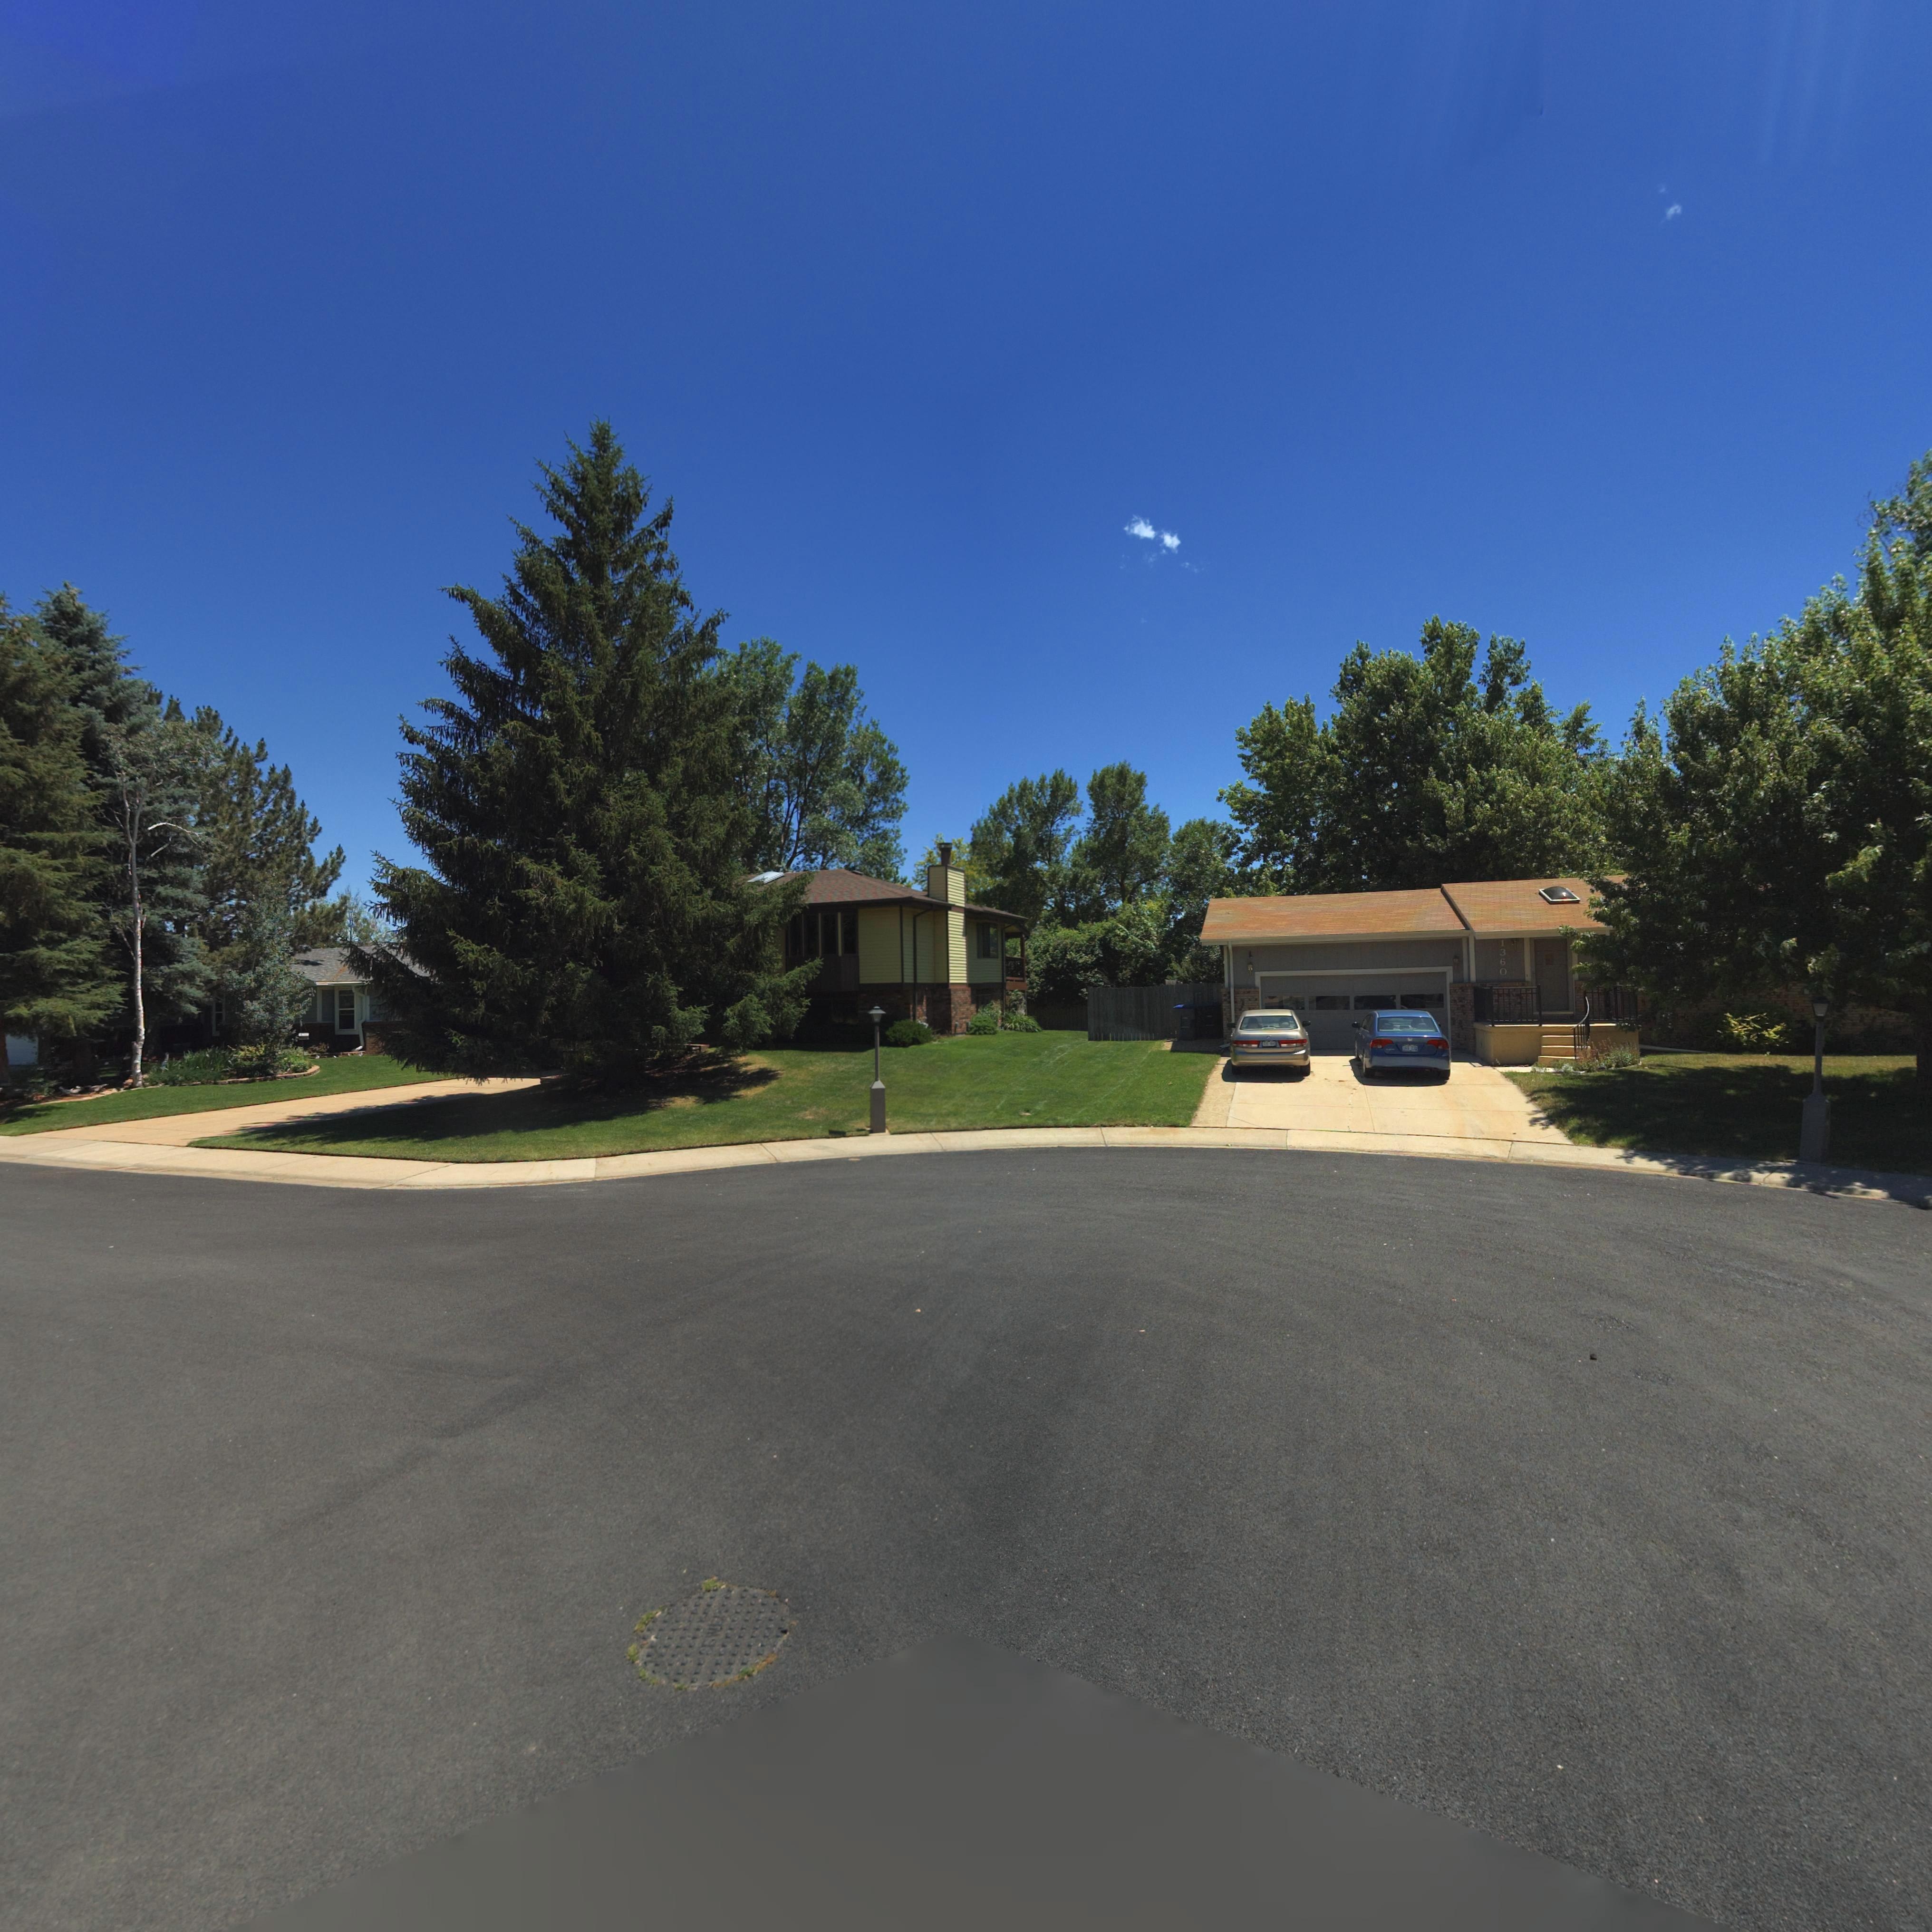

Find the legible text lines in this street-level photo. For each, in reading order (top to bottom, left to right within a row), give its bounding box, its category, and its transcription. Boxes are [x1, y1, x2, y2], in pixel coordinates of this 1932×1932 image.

[1499, 939, 1507, 976] StreetNumber: 1360